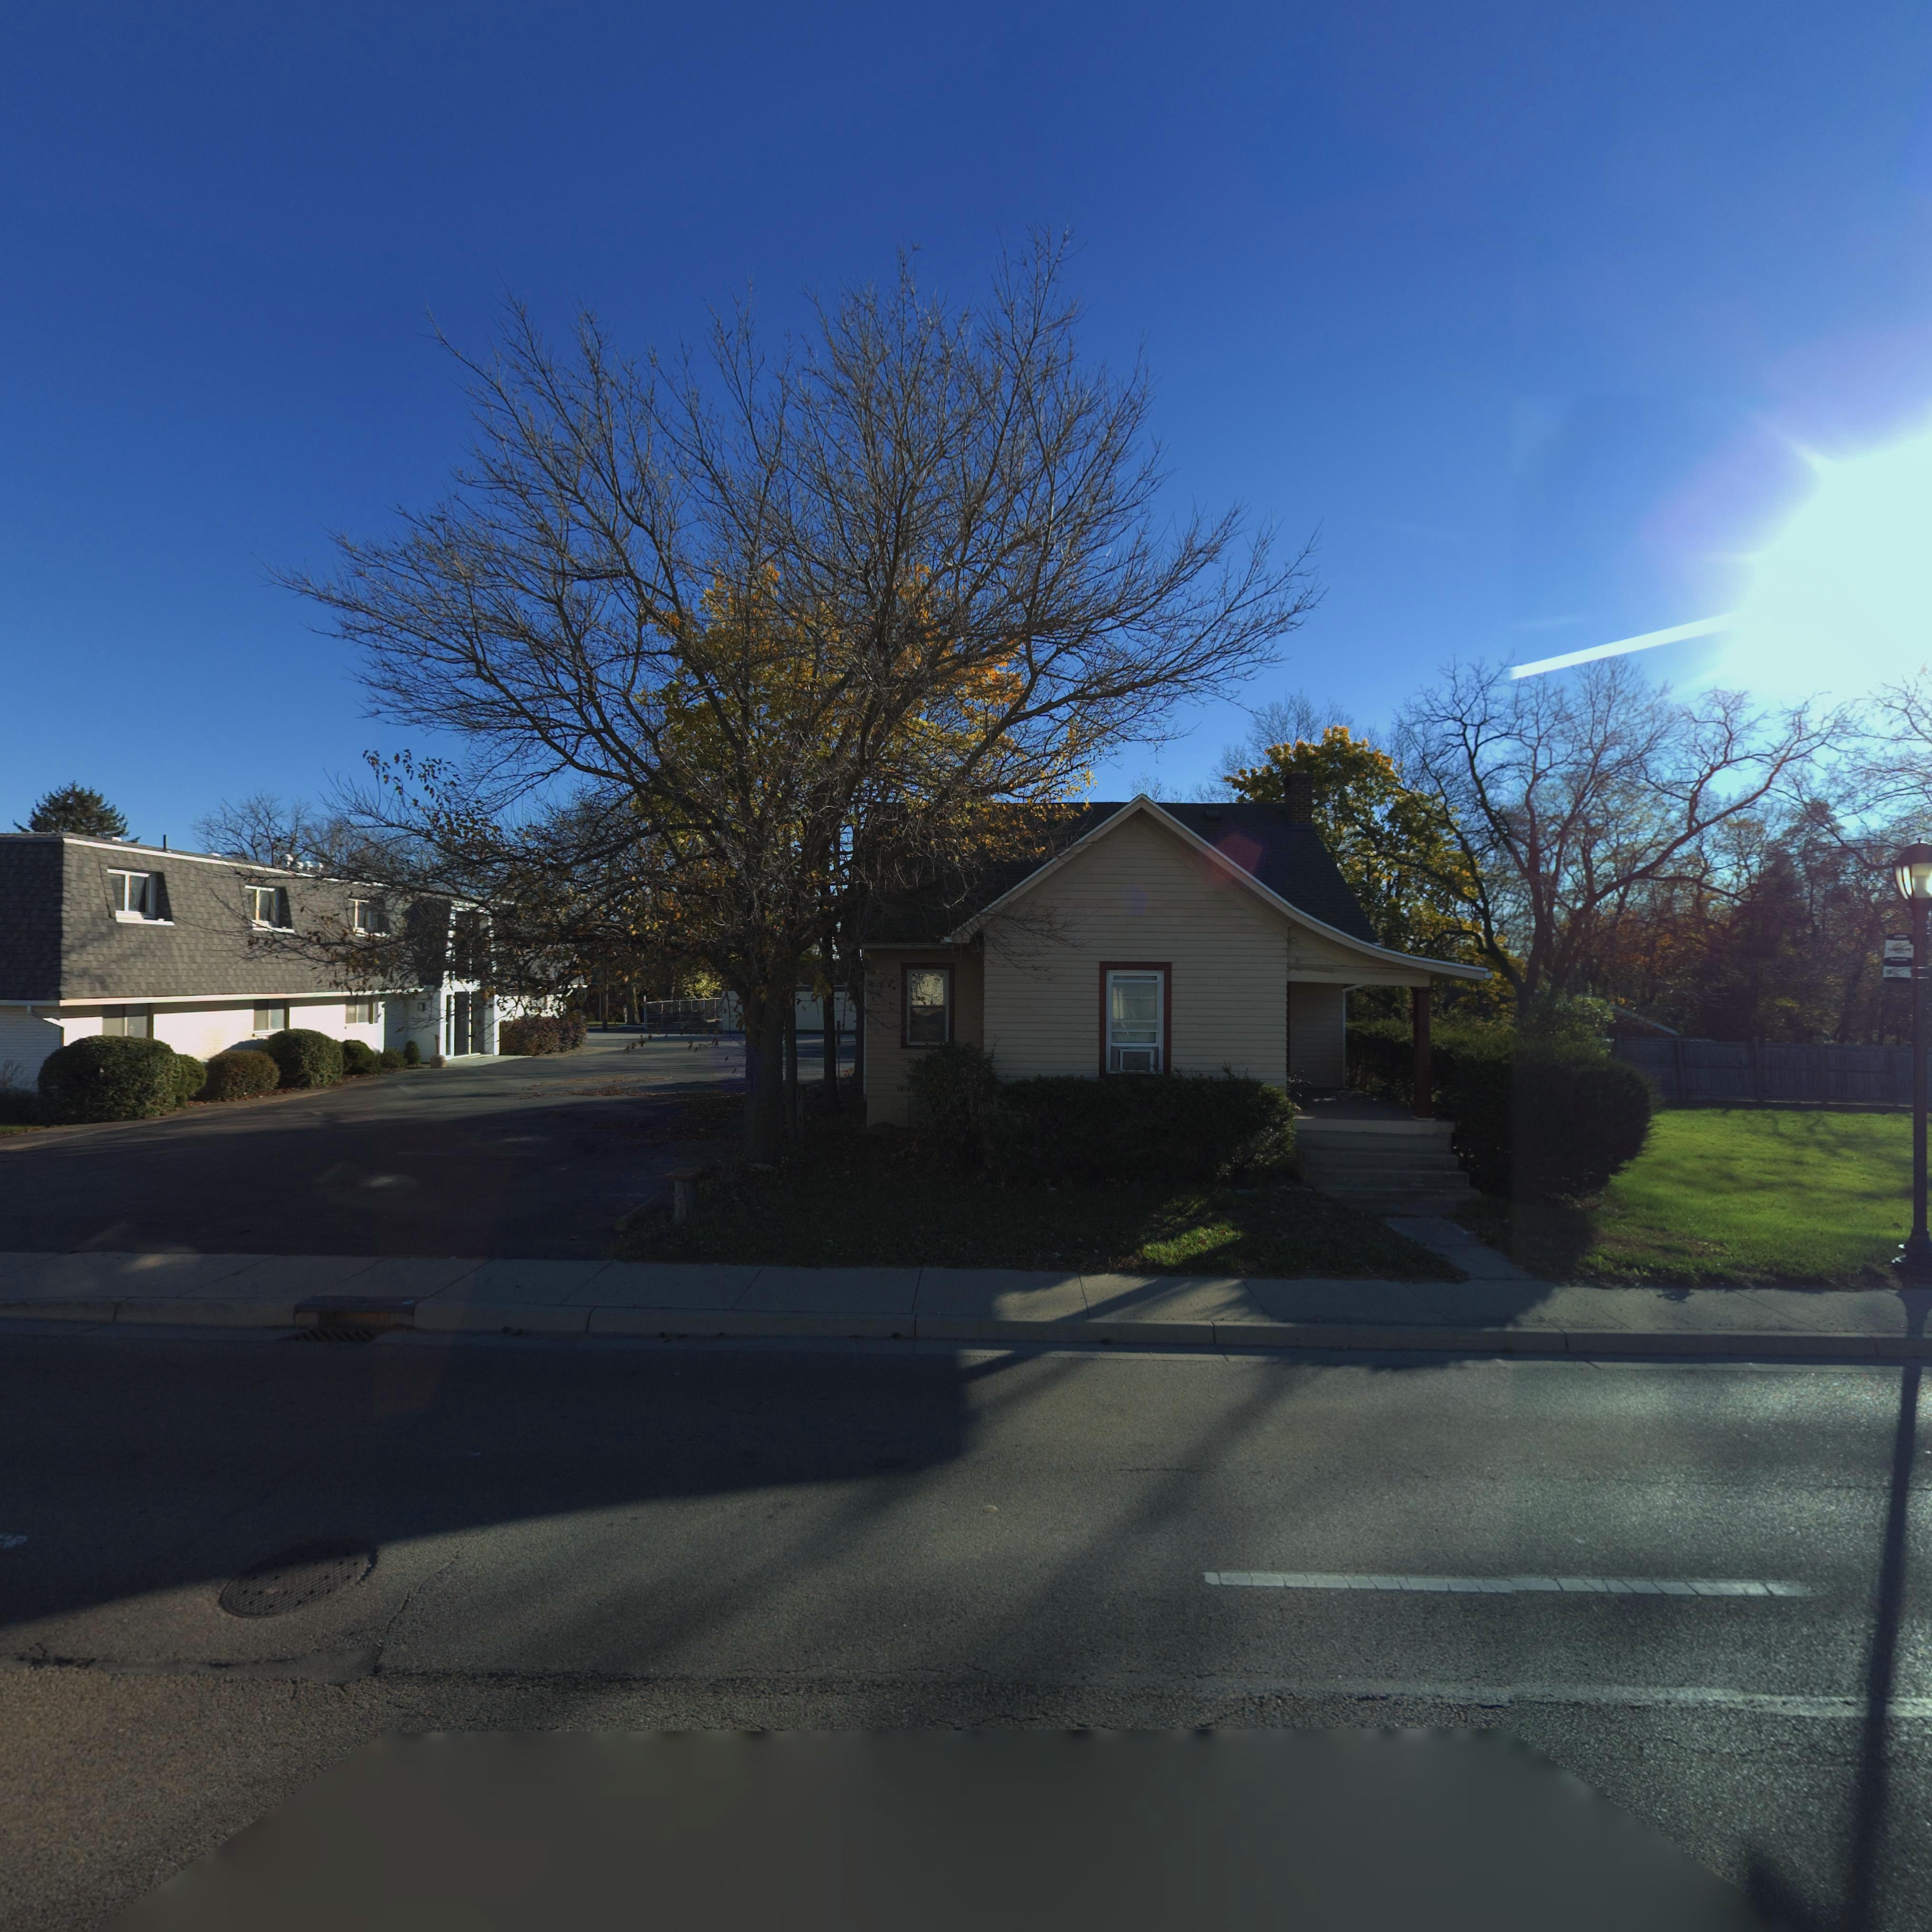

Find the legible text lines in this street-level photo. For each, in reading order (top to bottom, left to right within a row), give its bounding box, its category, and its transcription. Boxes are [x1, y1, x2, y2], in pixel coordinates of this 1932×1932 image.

[1419, 1021, 1430, 1037] StreetNumber: 10*